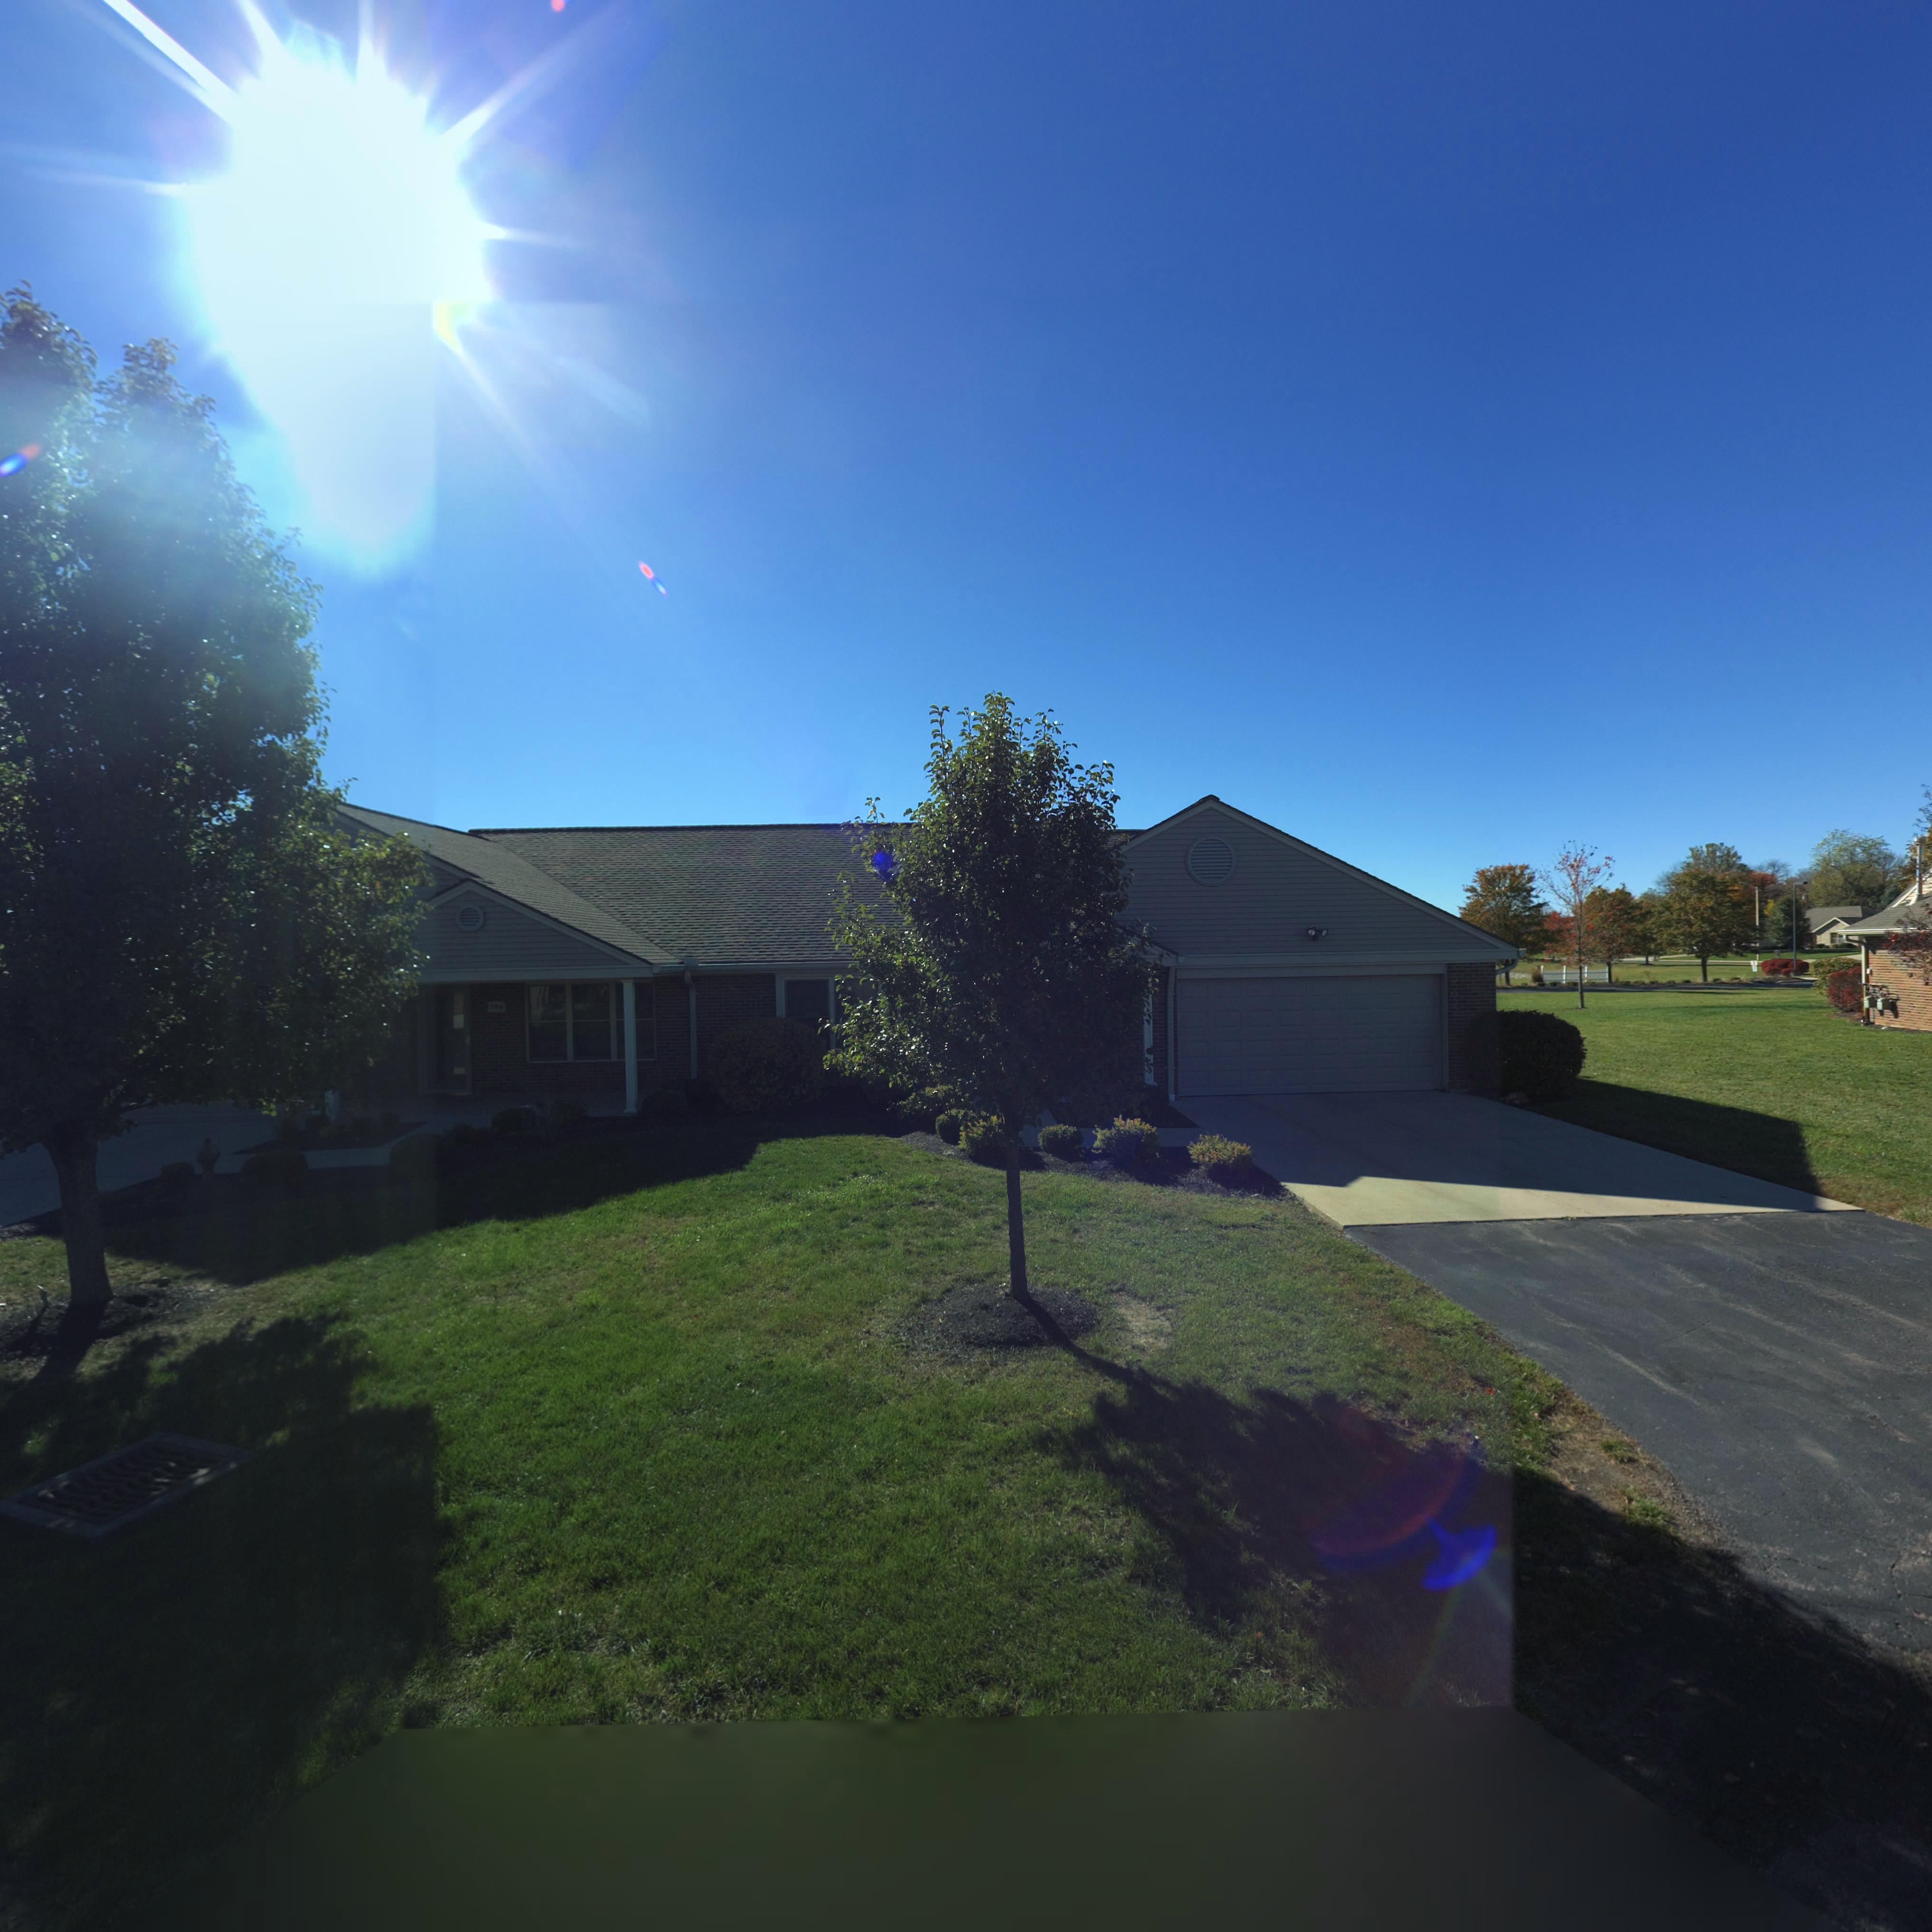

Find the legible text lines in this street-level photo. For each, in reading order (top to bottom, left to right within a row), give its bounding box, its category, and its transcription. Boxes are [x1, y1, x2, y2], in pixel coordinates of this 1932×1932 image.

[489, 1004, 503, 1010] StreetNumber: 724